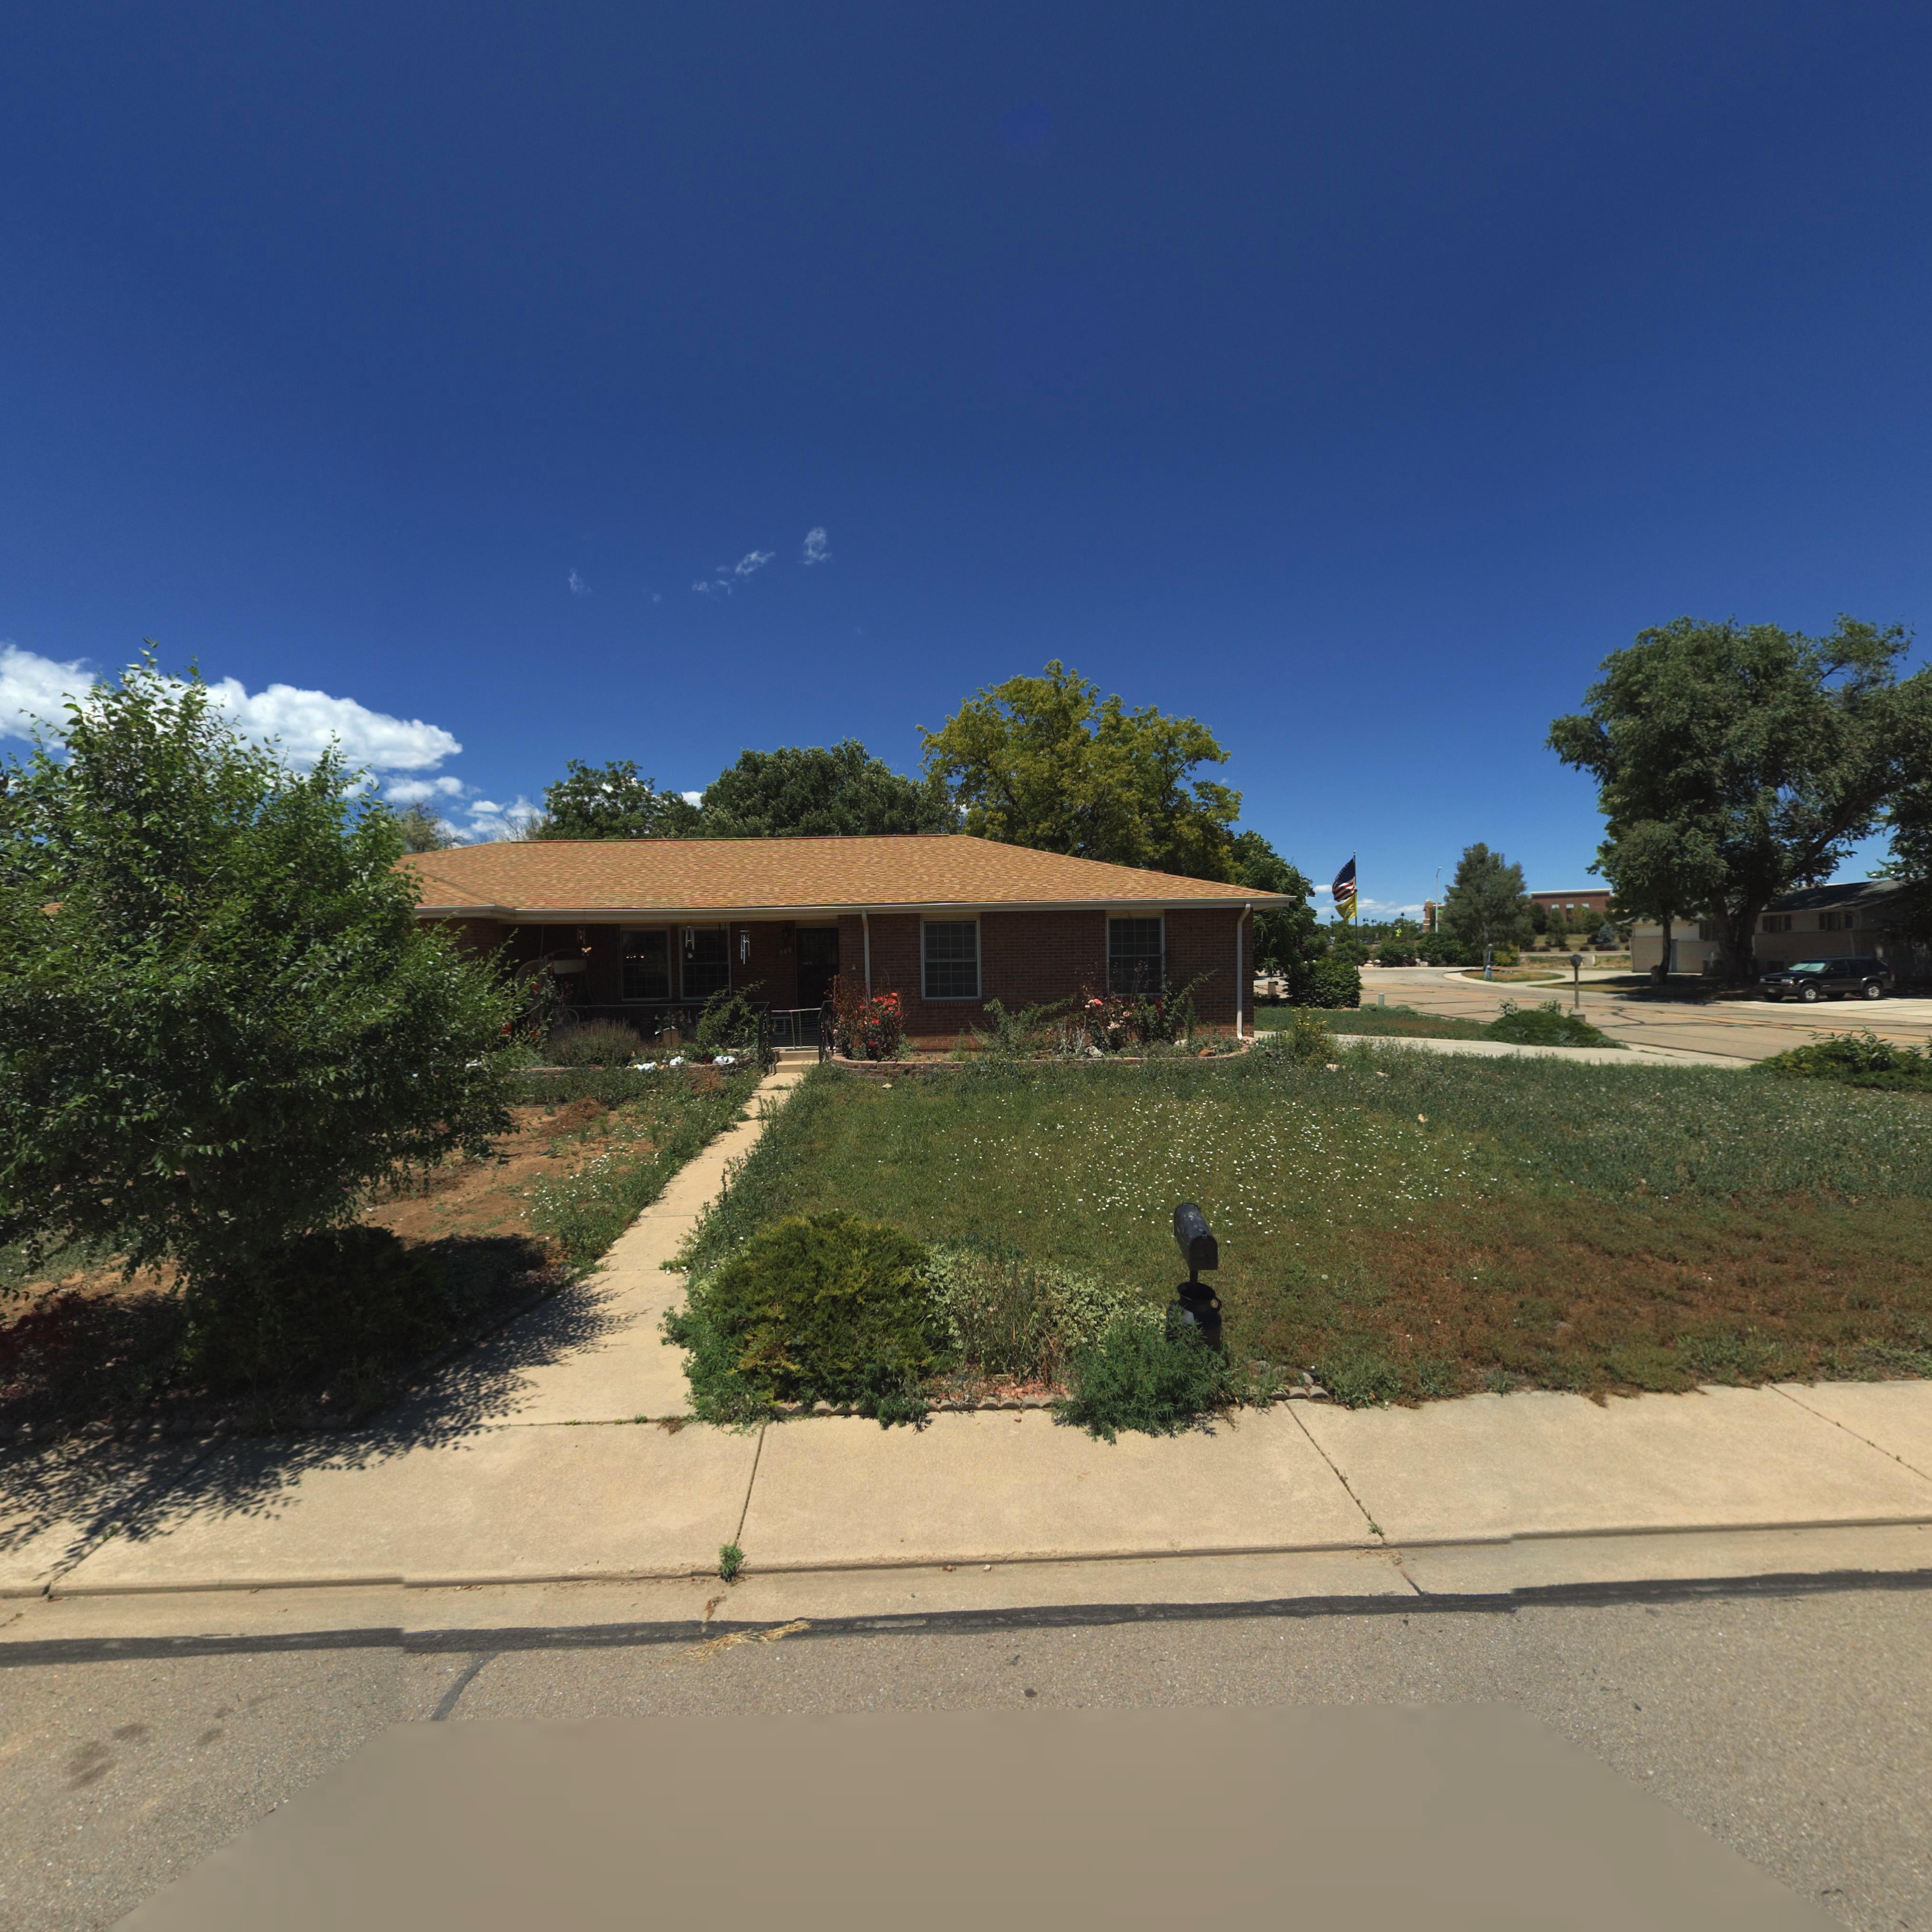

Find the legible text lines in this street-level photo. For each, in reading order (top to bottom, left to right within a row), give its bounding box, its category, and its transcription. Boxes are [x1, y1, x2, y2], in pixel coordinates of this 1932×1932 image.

[779, 947, 792, 956] StreetNumber: 340